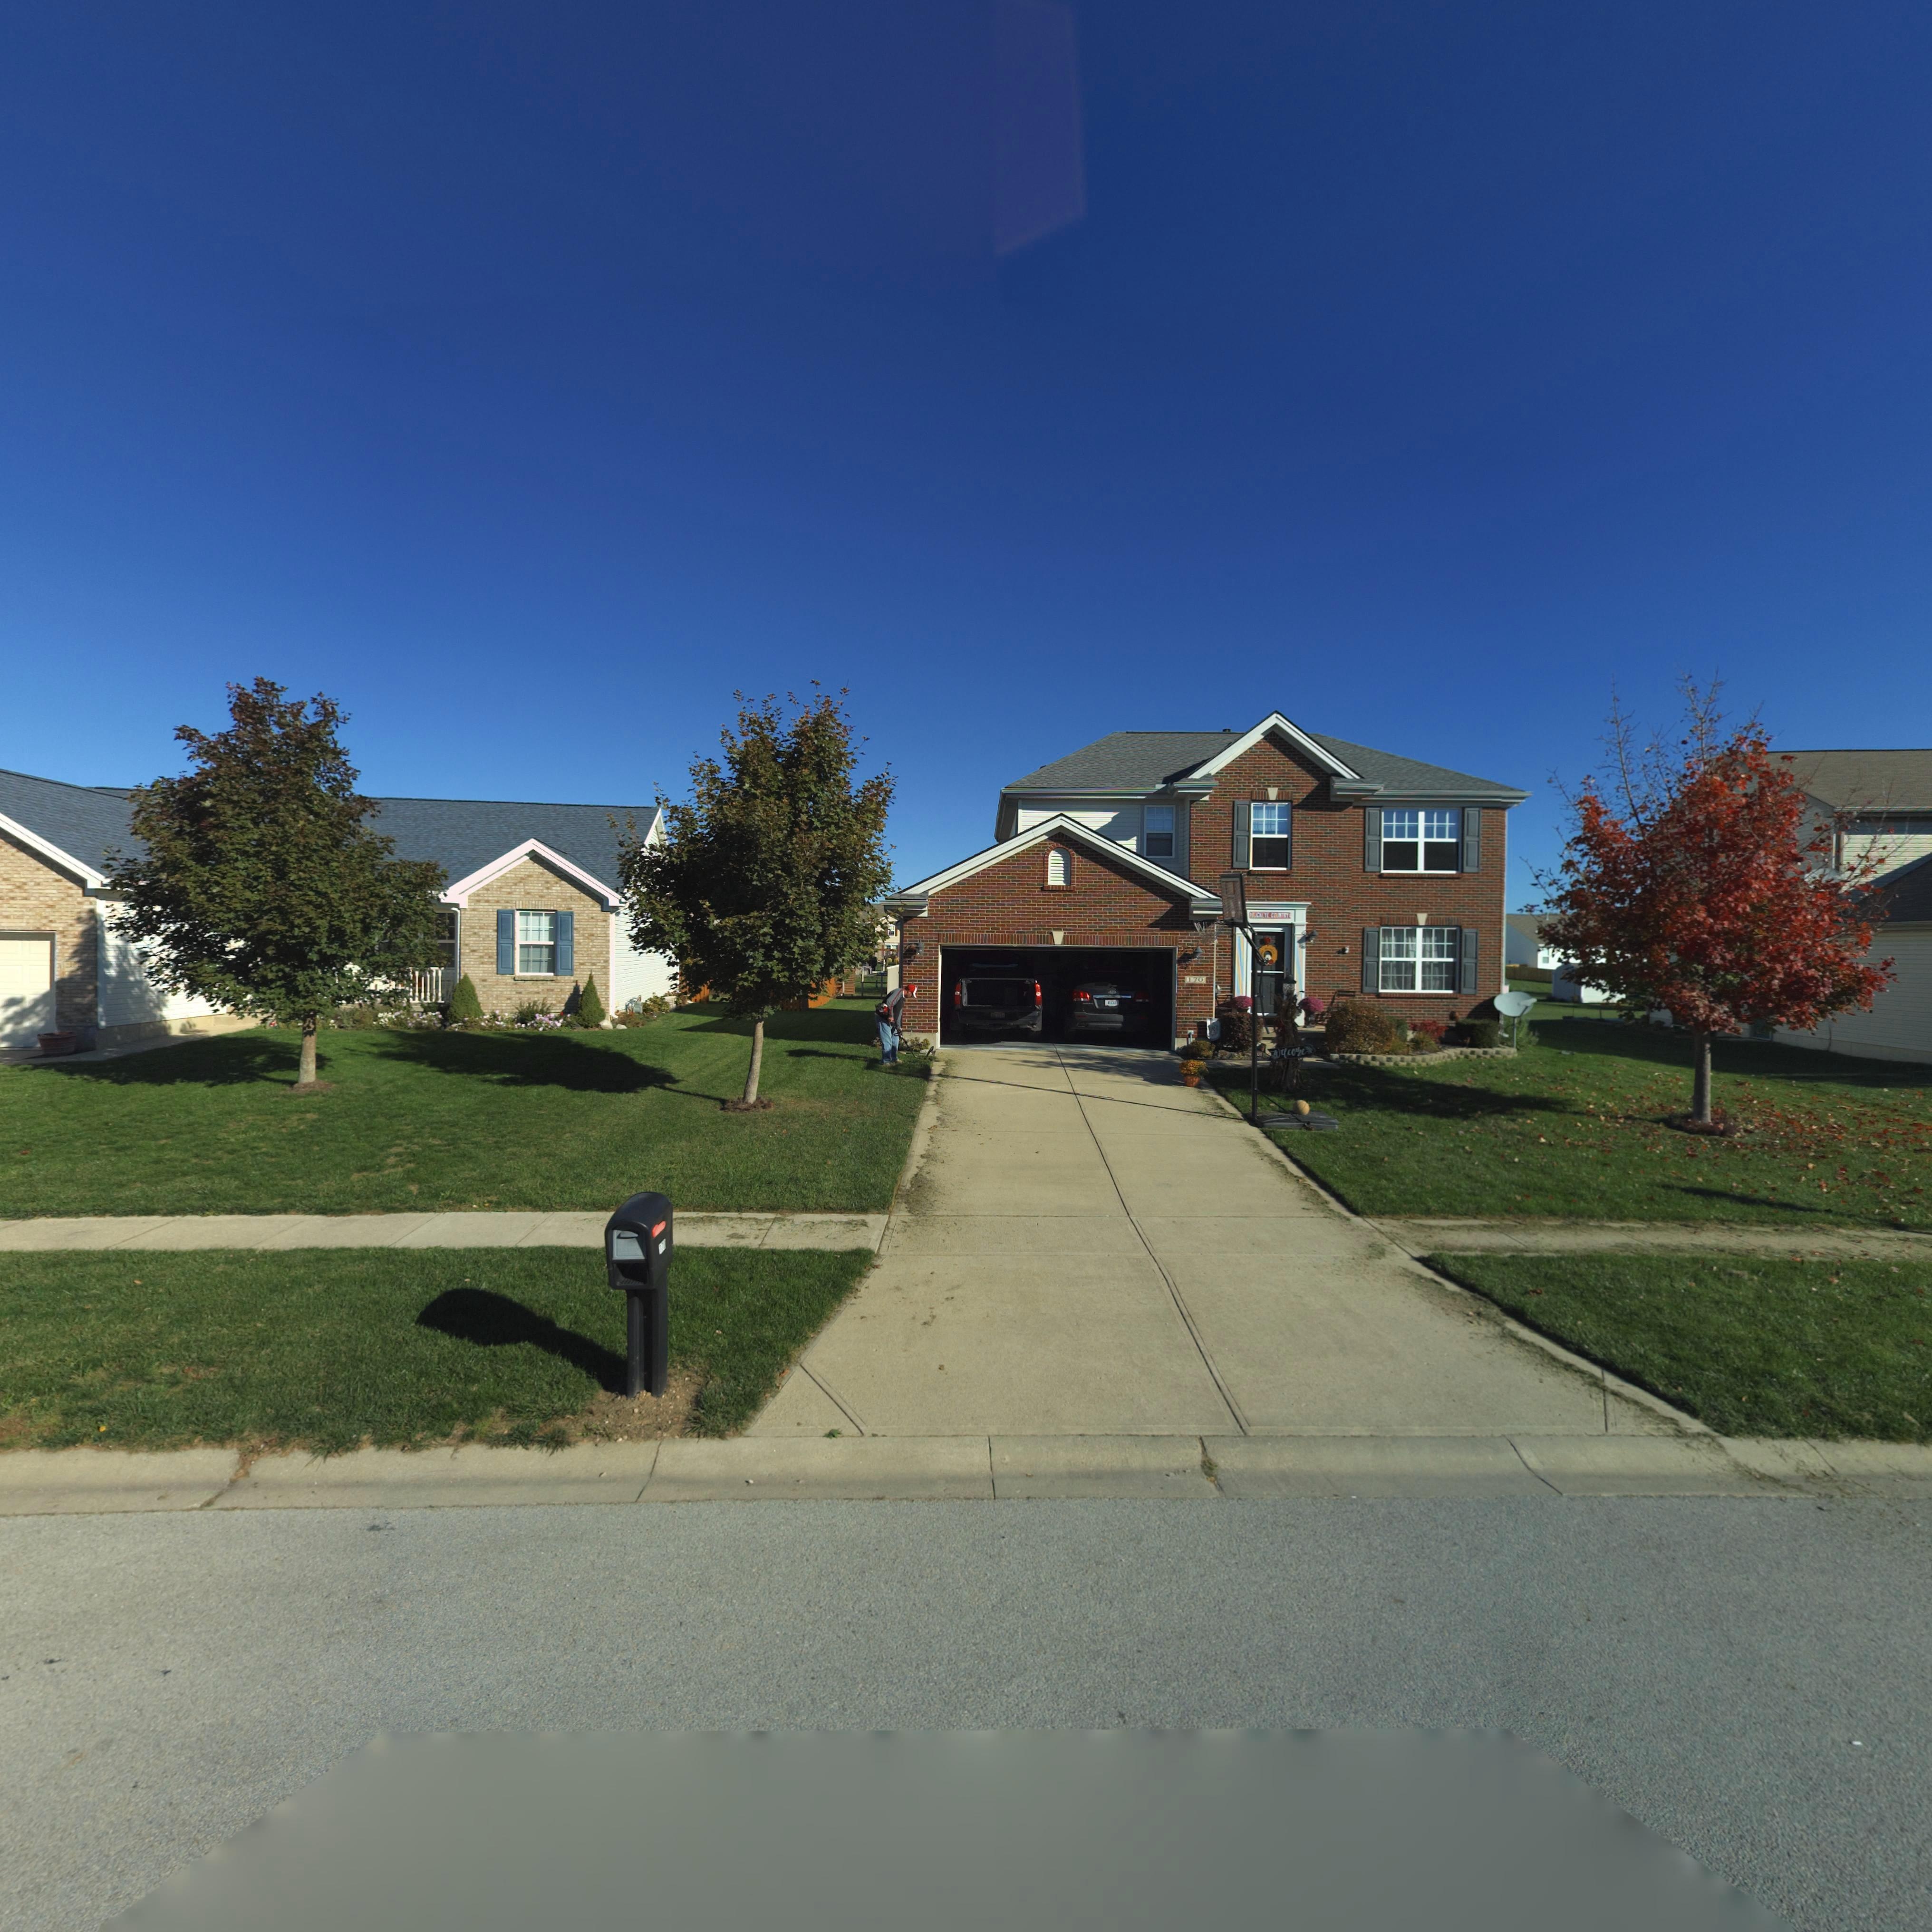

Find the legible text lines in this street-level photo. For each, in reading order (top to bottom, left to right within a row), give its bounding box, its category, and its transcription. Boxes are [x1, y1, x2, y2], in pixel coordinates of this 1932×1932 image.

[1188, 976, 1204, 983] StreetNumber: 170